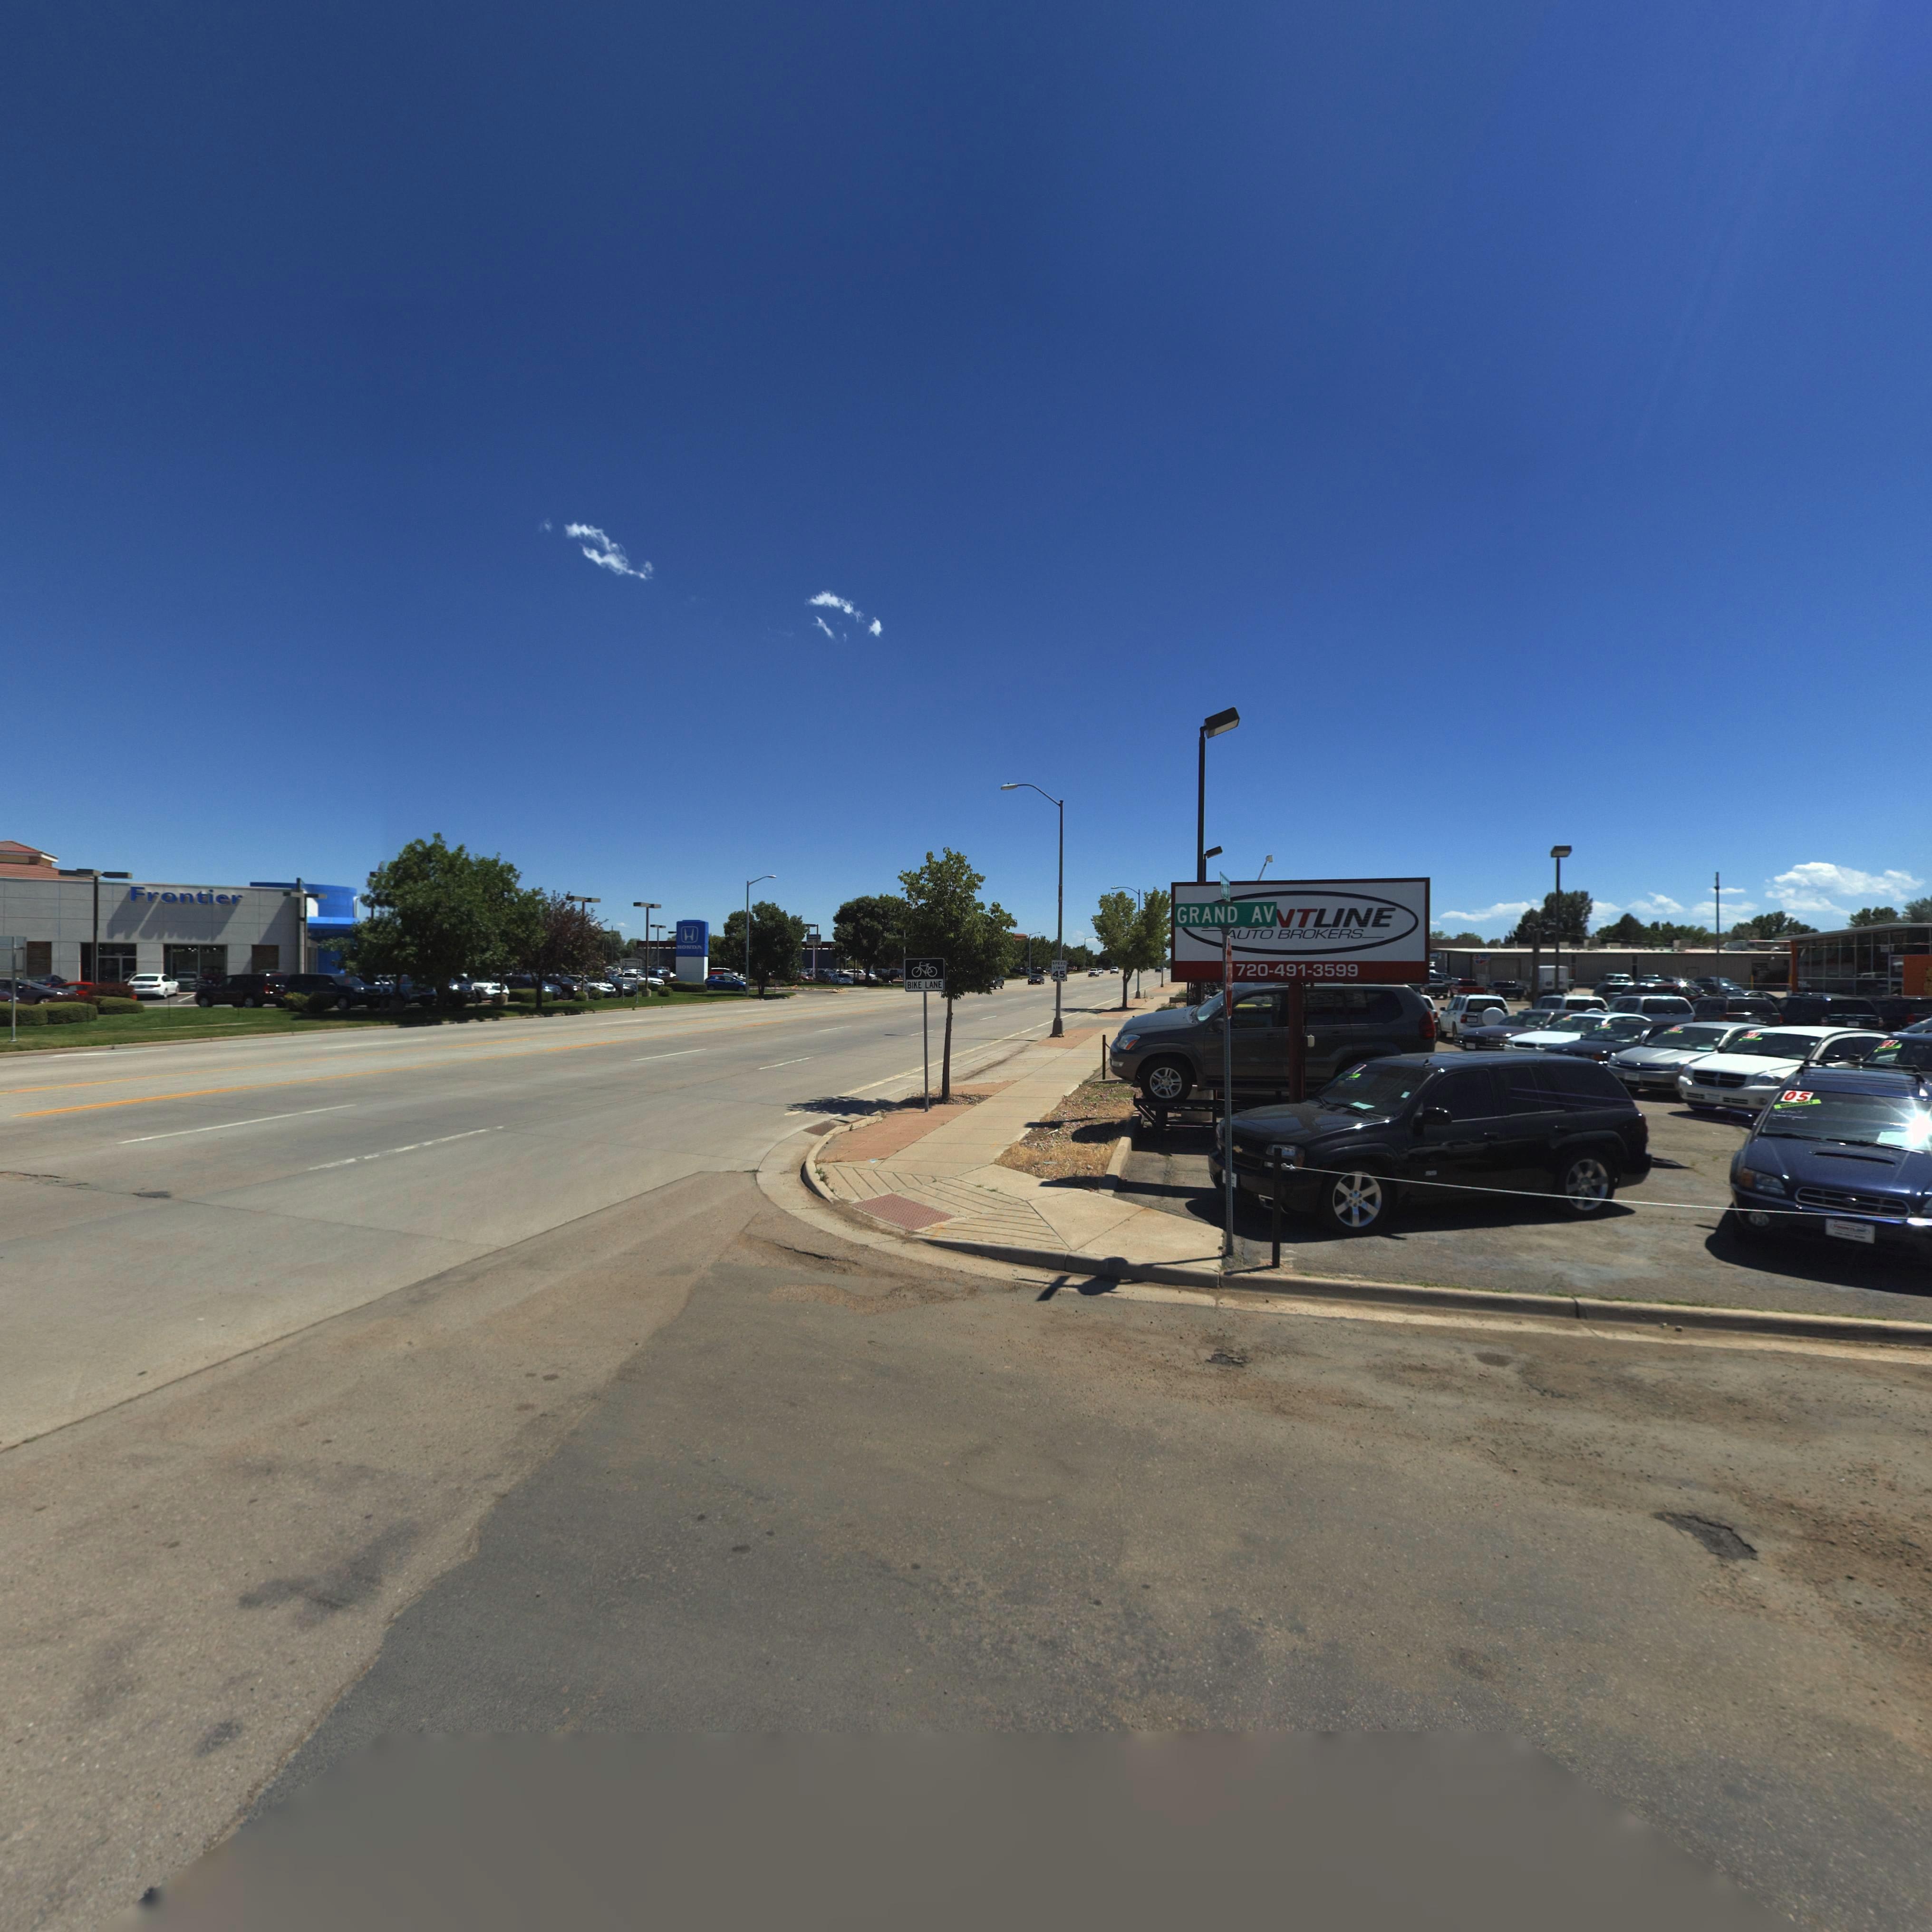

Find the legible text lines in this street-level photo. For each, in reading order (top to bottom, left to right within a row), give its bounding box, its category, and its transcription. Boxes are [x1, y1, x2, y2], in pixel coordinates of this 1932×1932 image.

[129, 886, 244, 906] BusinessName: Frontier
[1176, 905, 1275, 924] StreetName: GRAND AV
[1276, 908, 1395, 927] BusinessName: *TLINE
[1225, 928, 1364, 939] BusinessName: *UTO BROKERS
[677, 945, 702, 949] BusinessName: *ONDA